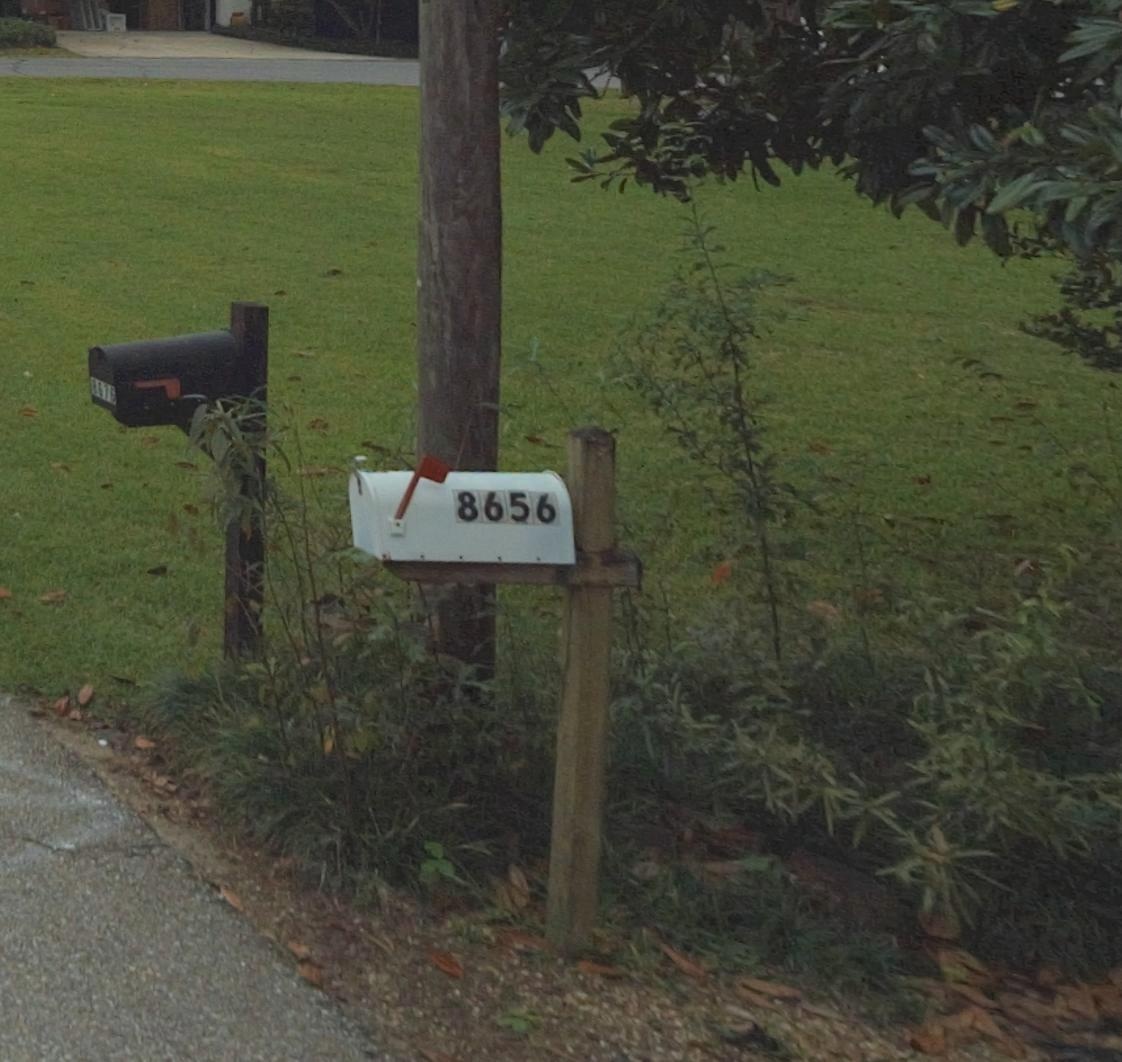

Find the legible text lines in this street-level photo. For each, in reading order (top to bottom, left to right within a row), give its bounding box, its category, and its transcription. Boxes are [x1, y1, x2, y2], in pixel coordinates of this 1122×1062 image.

[91, 377, 116, 404] StreetNumber: 8616
[456, 491, 560, 524] StreetNumber: 8656